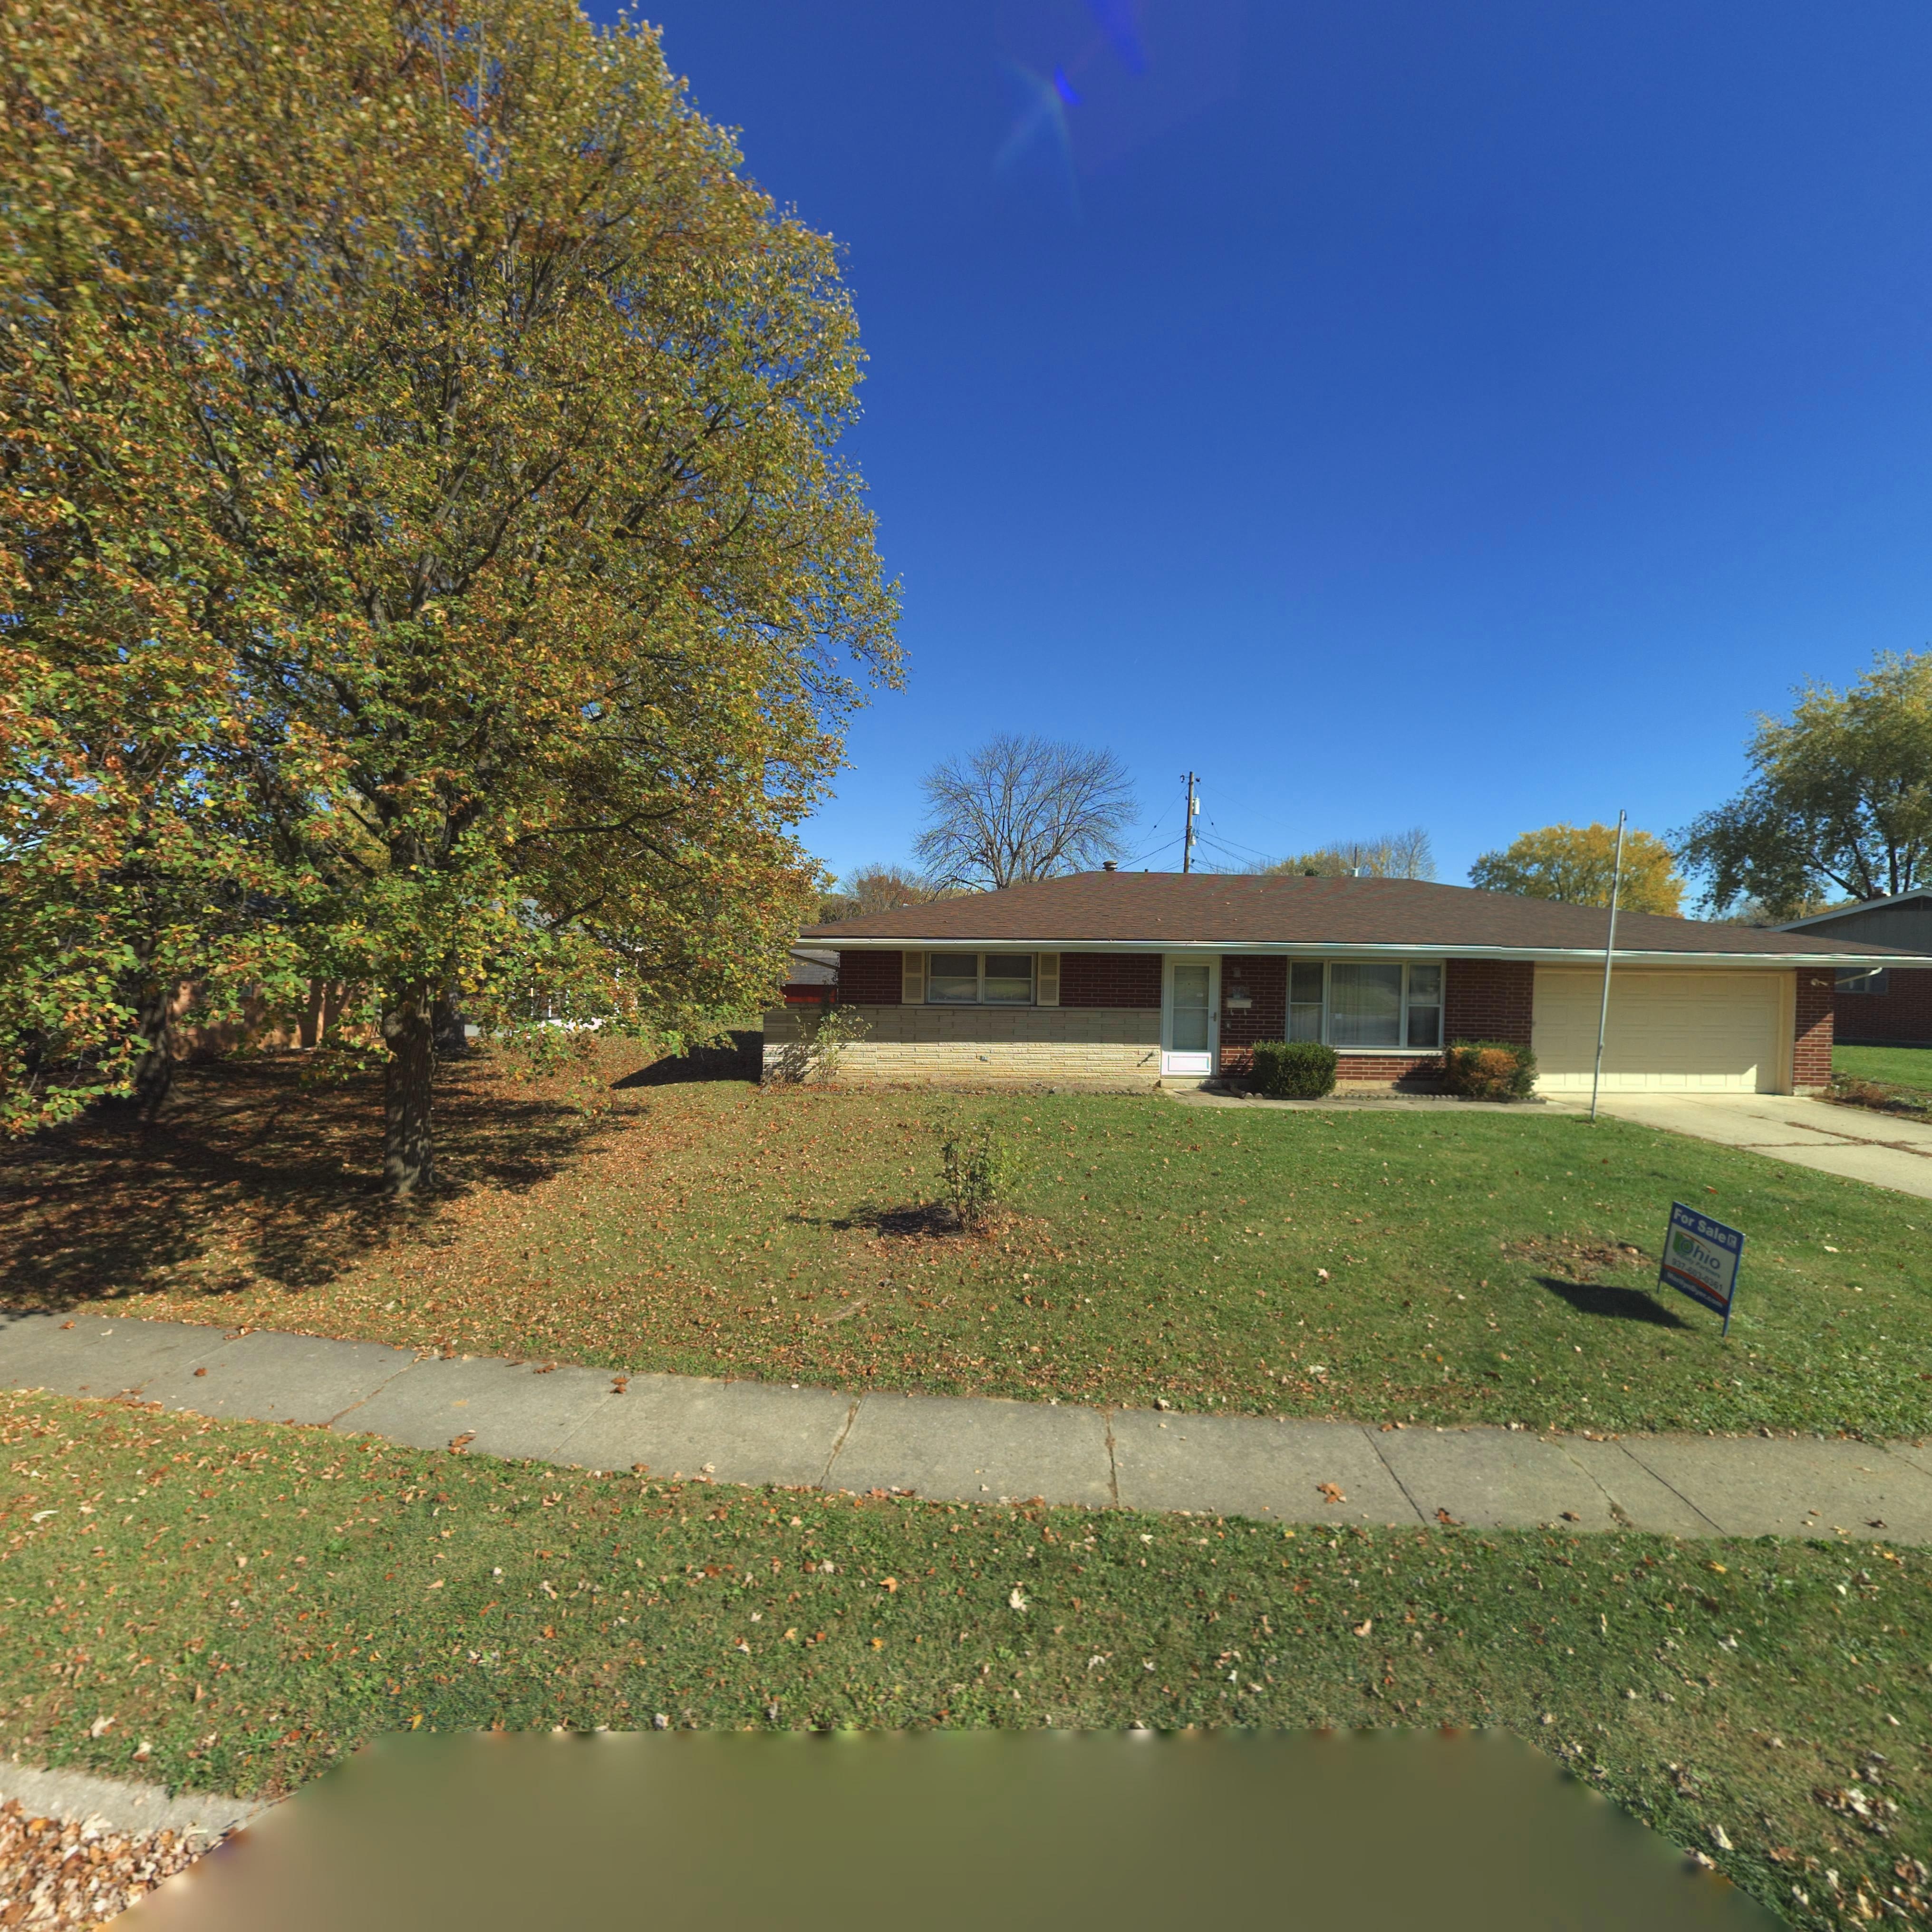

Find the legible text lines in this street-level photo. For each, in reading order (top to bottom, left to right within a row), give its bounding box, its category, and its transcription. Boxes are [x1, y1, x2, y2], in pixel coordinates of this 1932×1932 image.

[1231, 986, 1246, 994] StreetNumber: *23